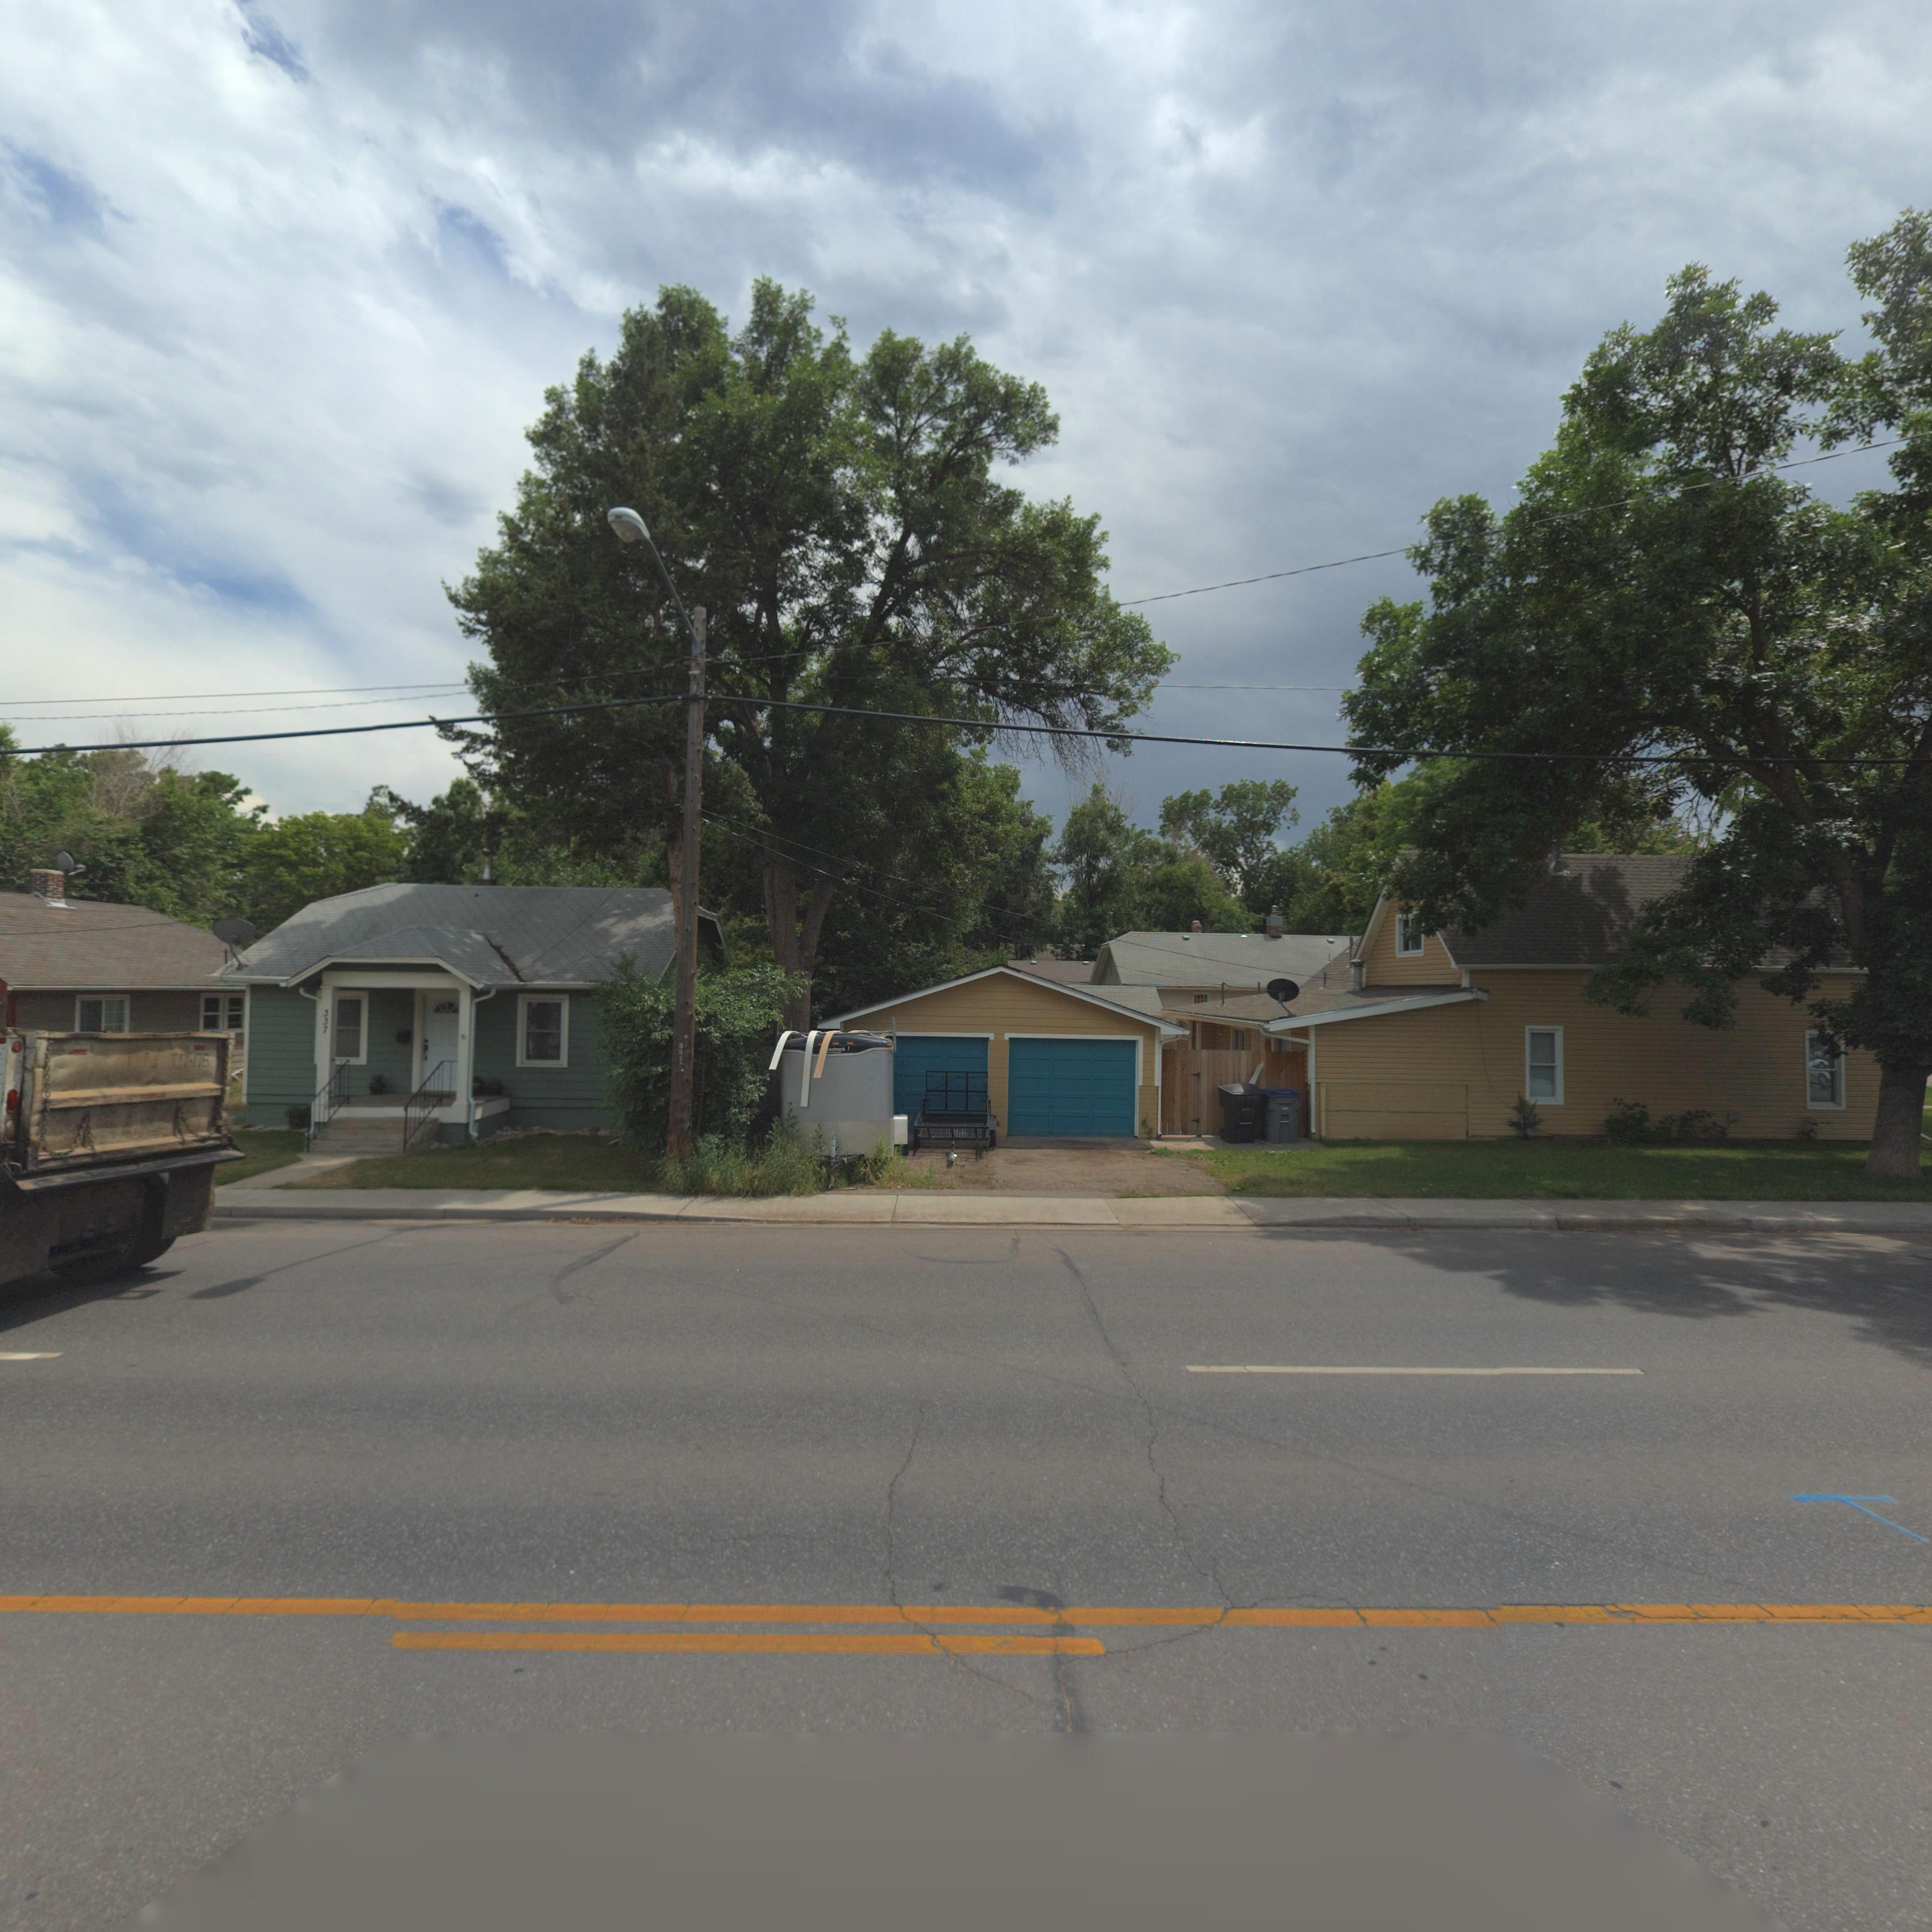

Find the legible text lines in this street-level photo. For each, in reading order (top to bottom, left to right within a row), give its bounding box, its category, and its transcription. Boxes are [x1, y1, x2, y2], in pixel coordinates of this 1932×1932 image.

[322, 1009, 328, 1034] StreetNumber: 337